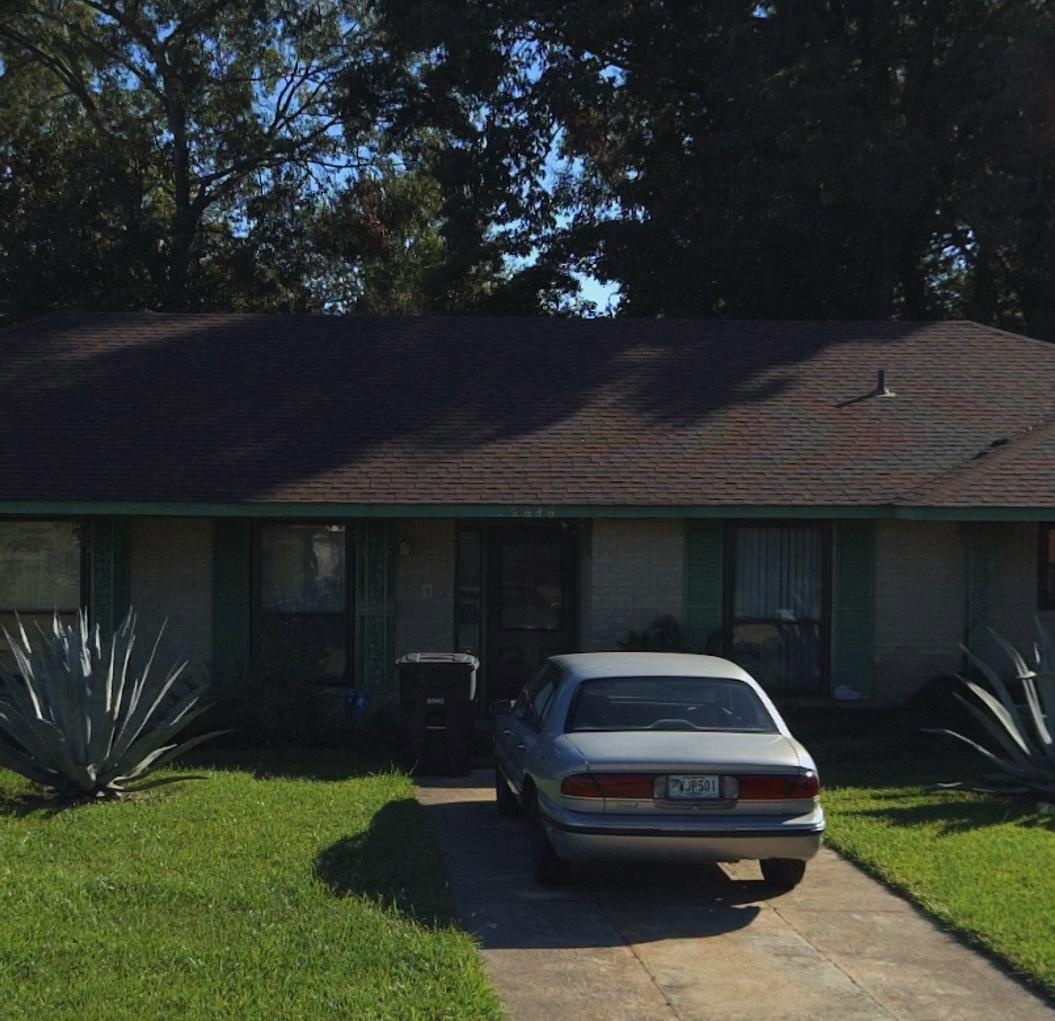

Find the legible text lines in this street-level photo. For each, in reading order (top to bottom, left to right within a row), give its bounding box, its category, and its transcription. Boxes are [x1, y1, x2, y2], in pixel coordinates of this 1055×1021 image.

[511, 505, 557, 519] StreetNumber: 2686
[683, 778, 717, 793] None: JP501